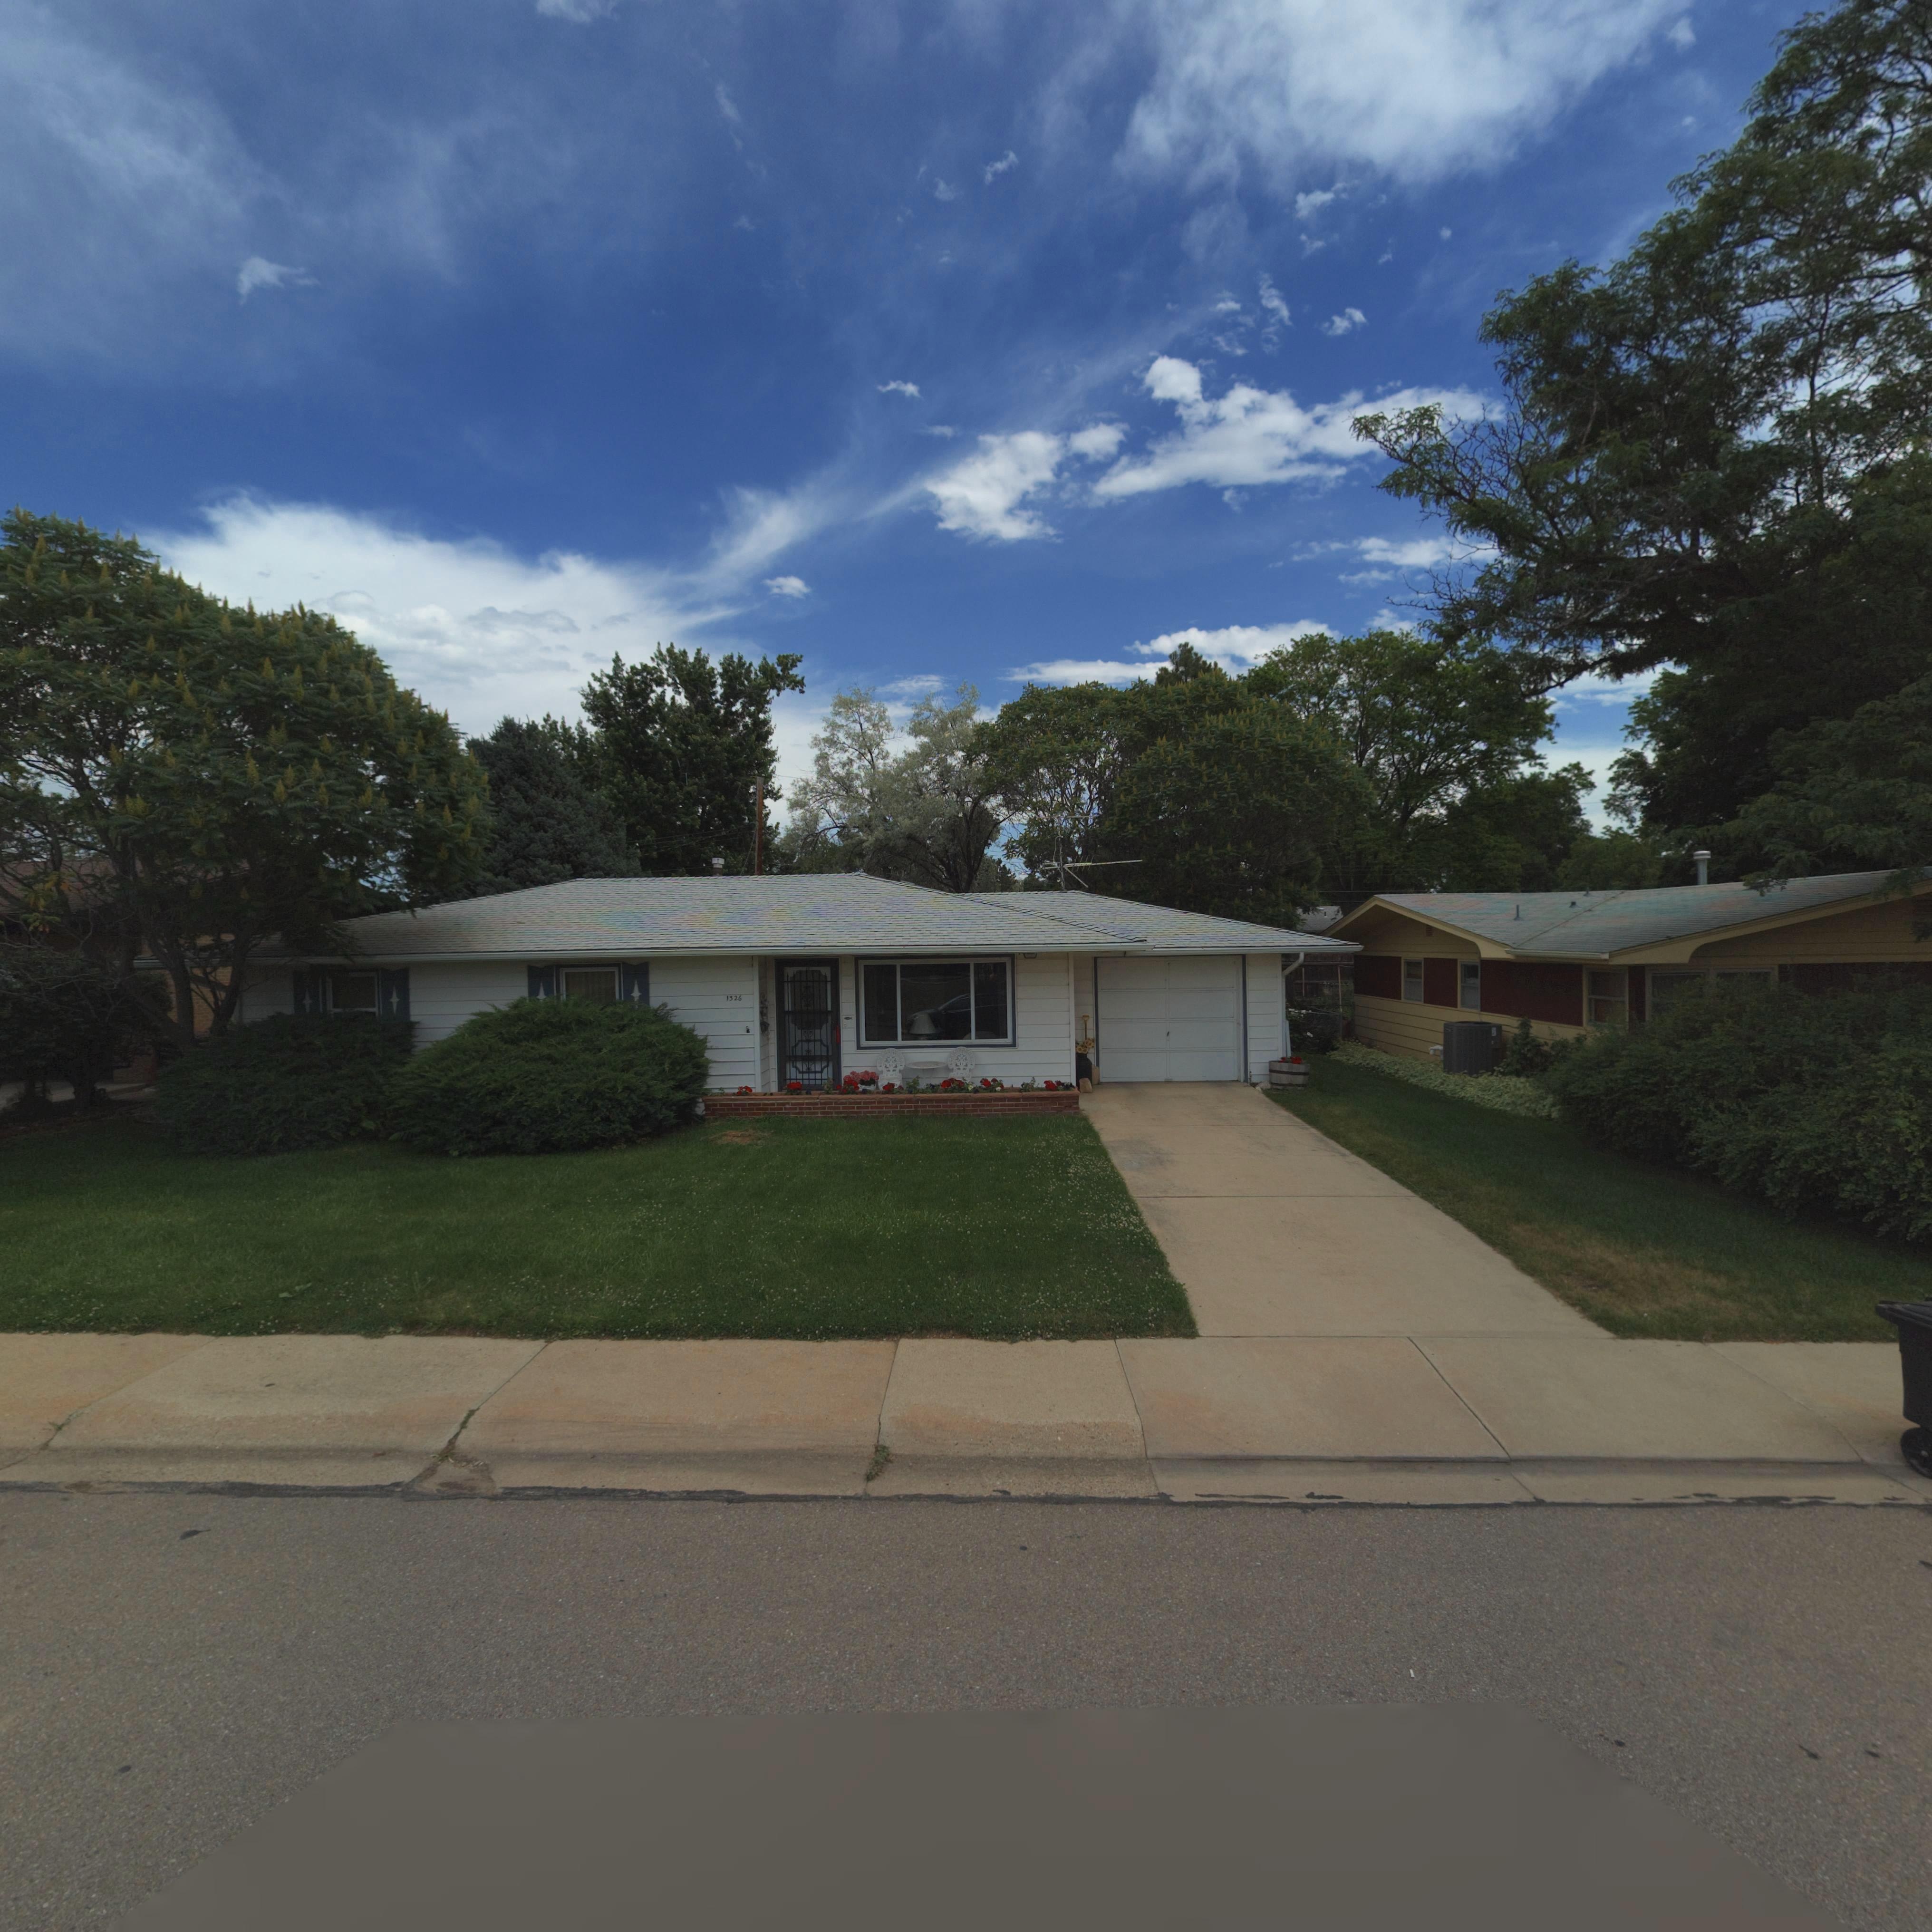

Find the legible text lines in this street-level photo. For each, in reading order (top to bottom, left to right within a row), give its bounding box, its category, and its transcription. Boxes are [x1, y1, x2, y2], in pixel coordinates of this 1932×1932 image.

[726, 995, 742, 1001] StreetNumber: 1326